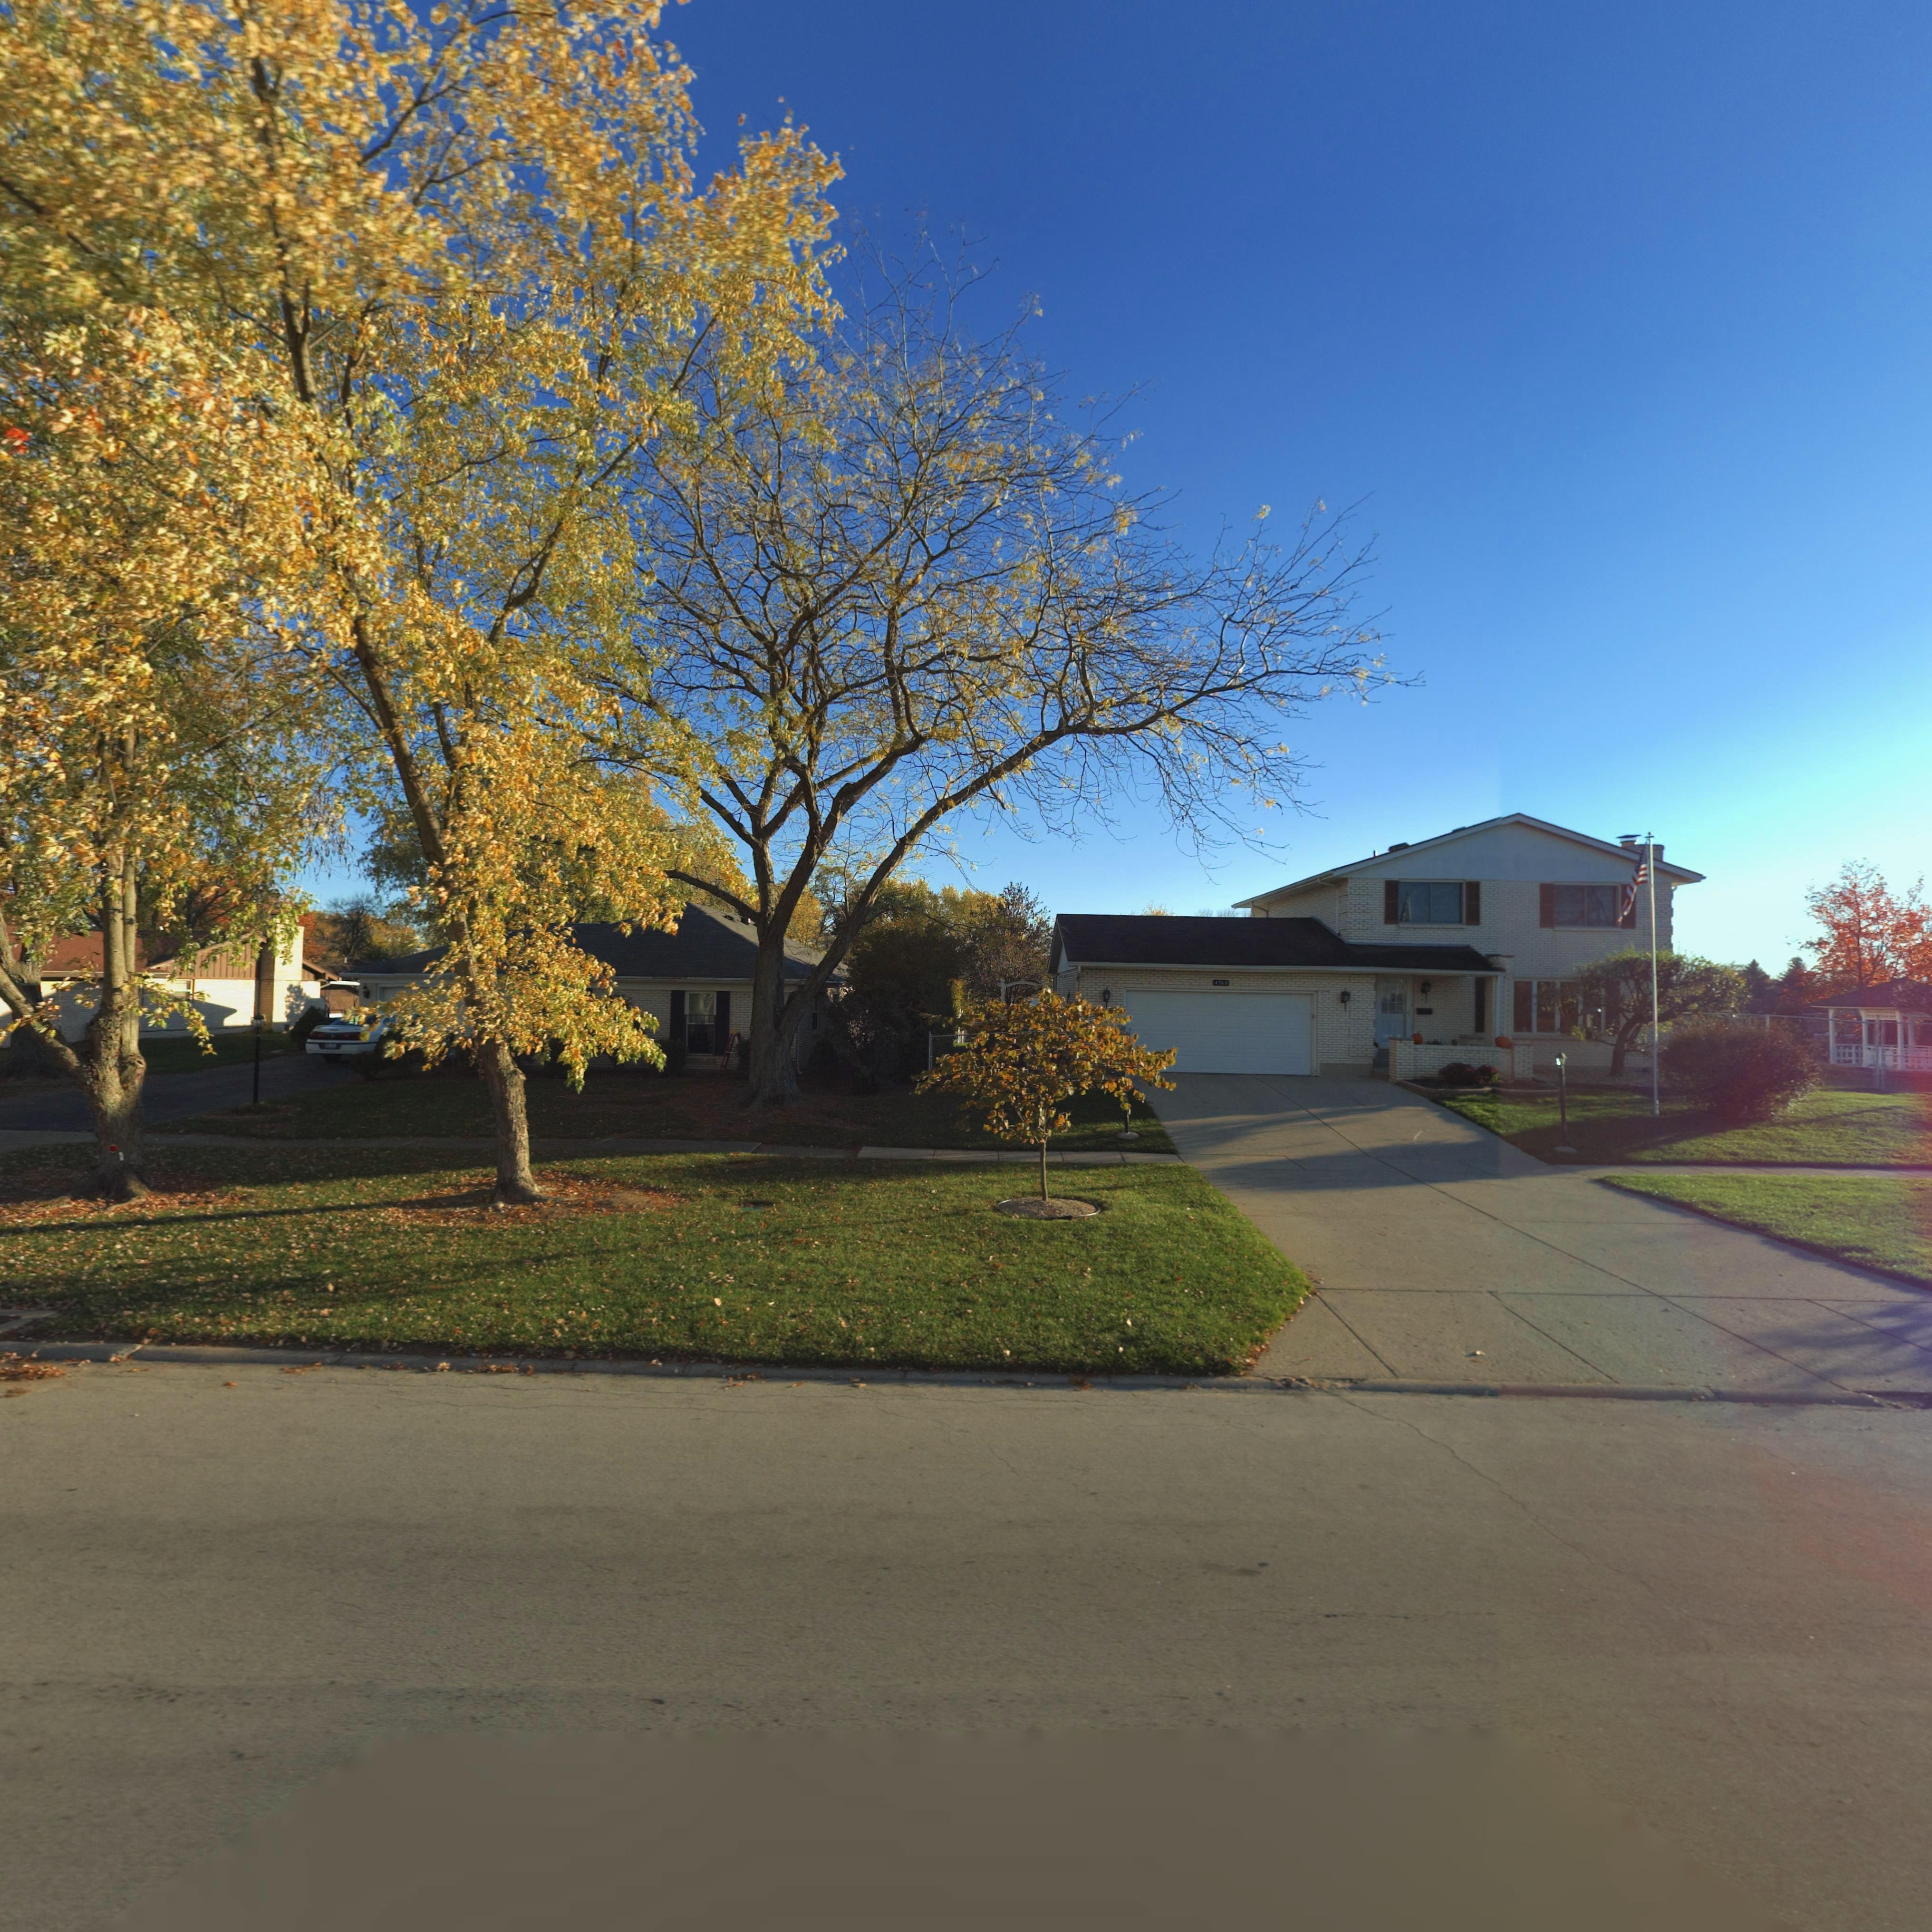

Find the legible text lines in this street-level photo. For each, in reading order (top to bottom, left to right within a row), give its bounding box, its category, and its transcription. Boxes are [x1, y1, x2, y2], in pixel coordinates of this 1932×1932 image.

[1214, 980, 1228, 985] StreetNumber: 4960